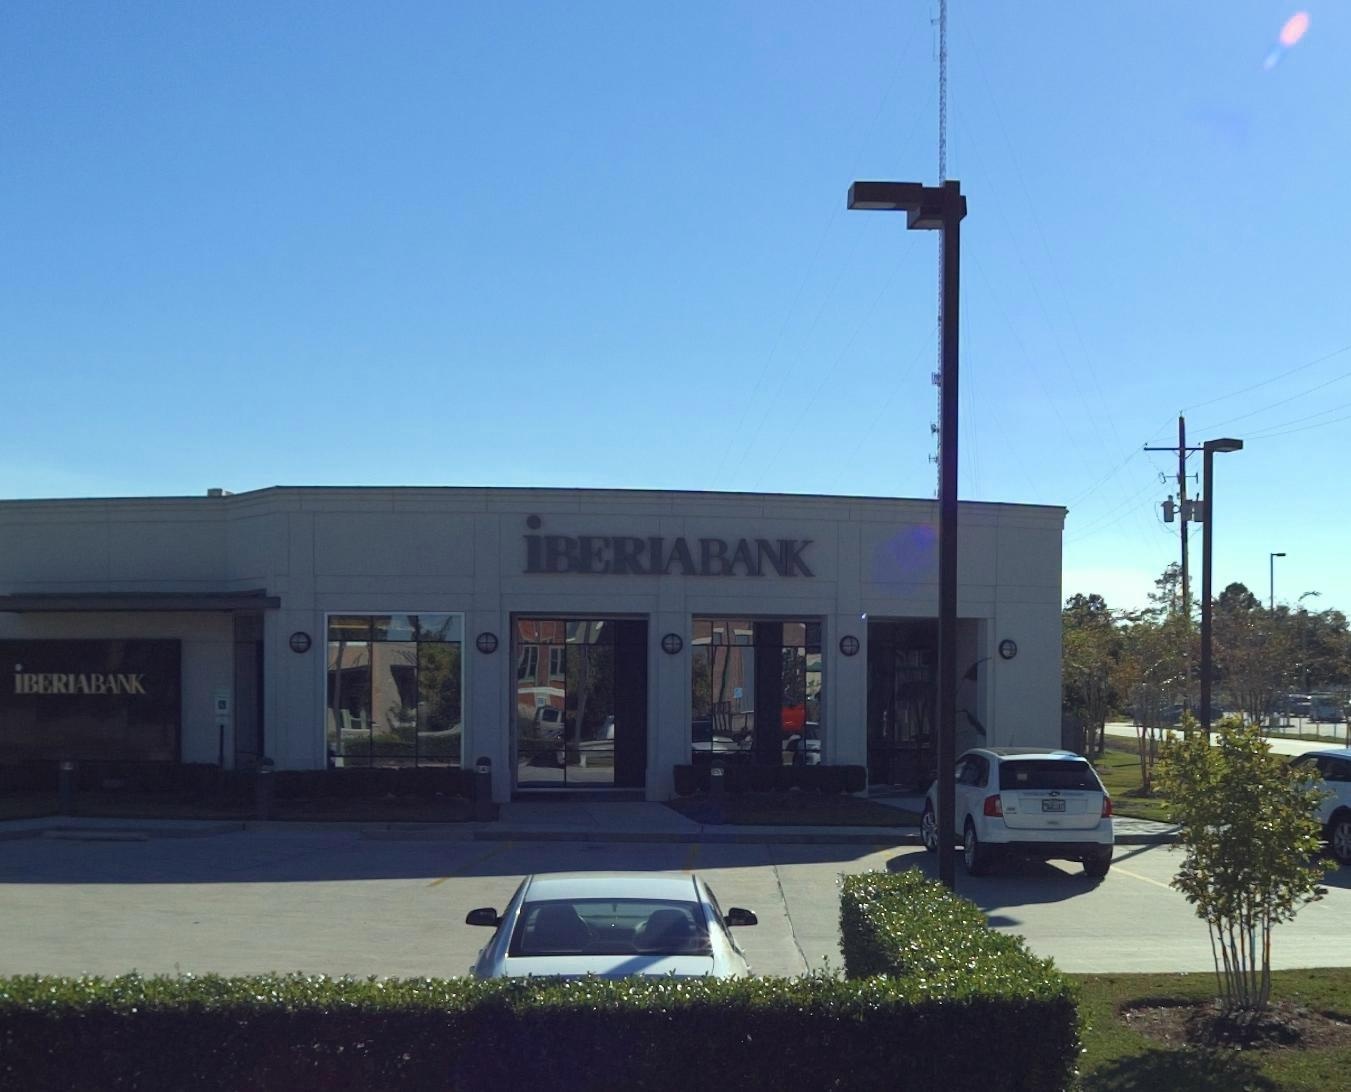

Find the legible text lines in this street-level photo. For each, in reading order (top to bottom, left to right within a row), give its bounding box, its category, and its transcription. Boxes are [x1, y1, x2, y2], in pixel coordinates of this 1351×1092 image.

[519, 513, 818, 579] BusinessName: iBERIABANK
[12, 661, 149, 696] BusinessName: iBERIABANK